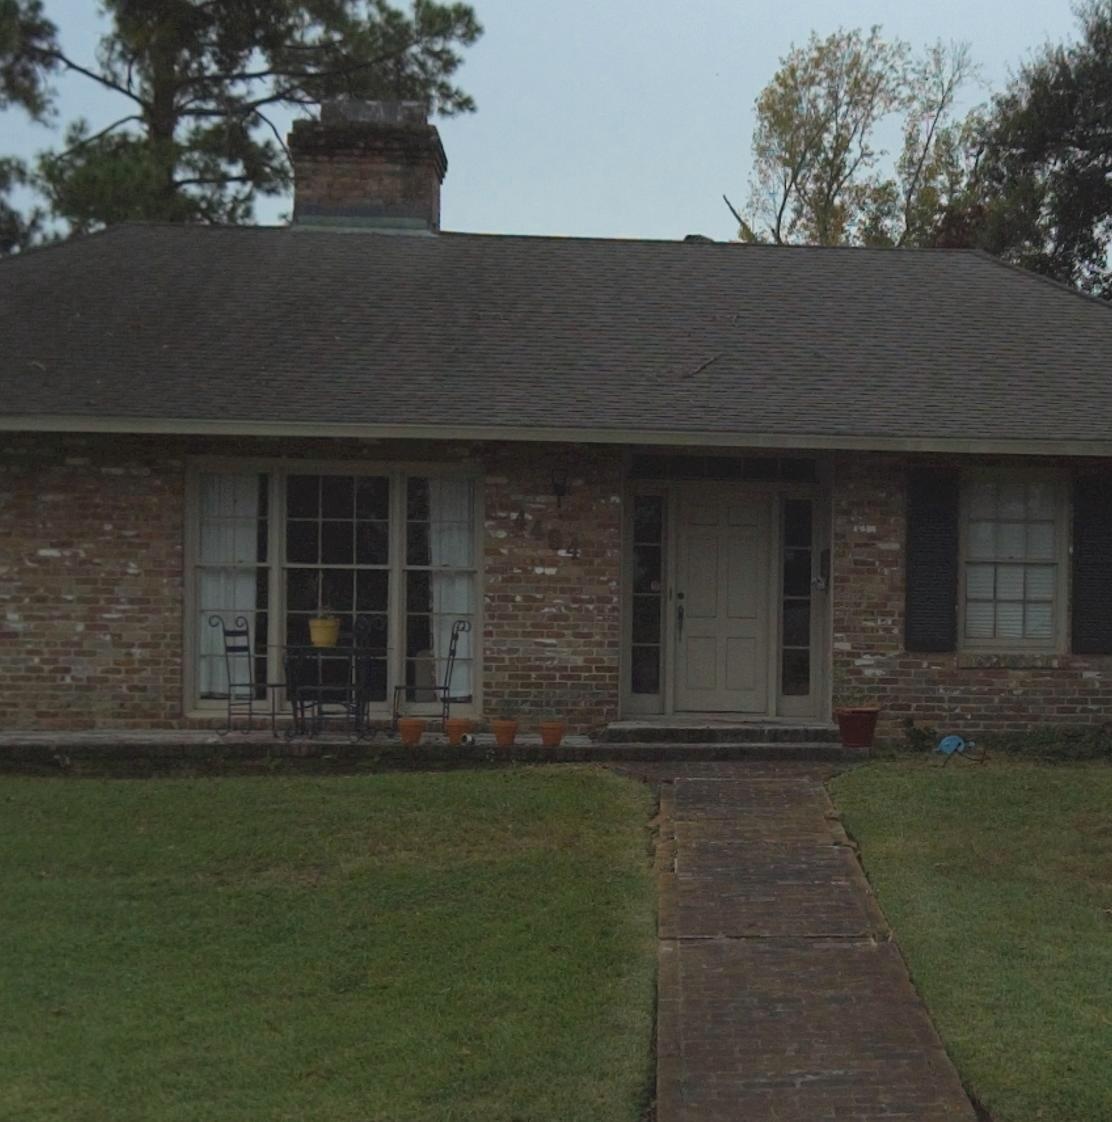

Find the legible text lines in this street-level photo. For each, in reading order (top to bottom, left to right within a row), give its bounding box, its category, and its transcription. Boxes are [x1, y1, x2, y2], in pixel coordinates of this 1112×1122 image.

[513, 507, 585, 562] StreetNumber: 4494